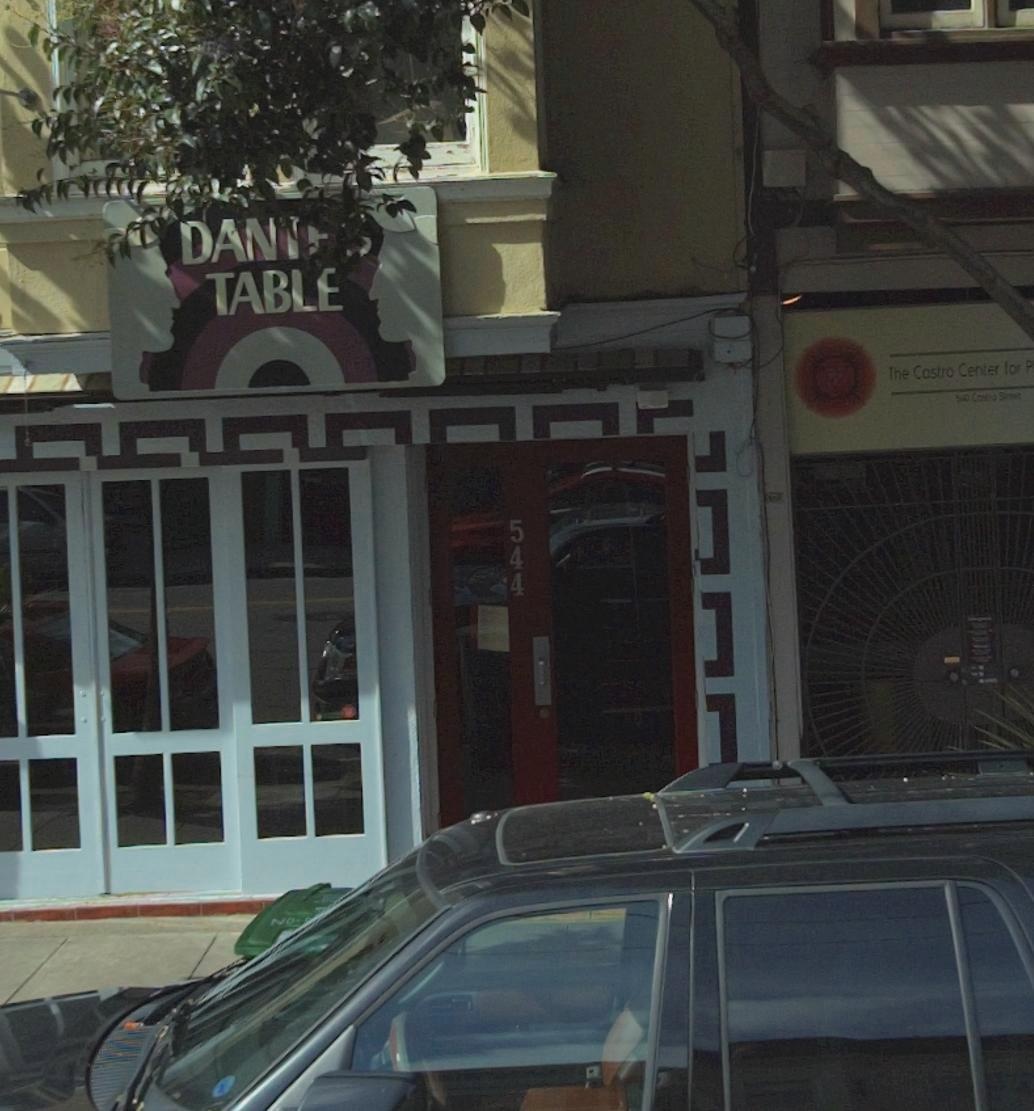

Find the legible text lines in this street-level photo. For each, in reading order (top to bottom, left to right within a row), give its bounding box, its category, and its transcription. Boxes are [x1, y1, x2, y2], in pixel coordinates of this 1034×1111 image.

[176, 202, 378, 269] BusinessName: DAN****
[202, 264, 349, 320] BusinessName: TABLE
[887, 358, 1034, 383] BusinessName: The Castro Center for P
[953, 392, 971, 404] StreetNumber: 540
[970, 391, 1024, 403] StreetName: Castro Street
[508, 517, 526, 598] StreetNumber: 544